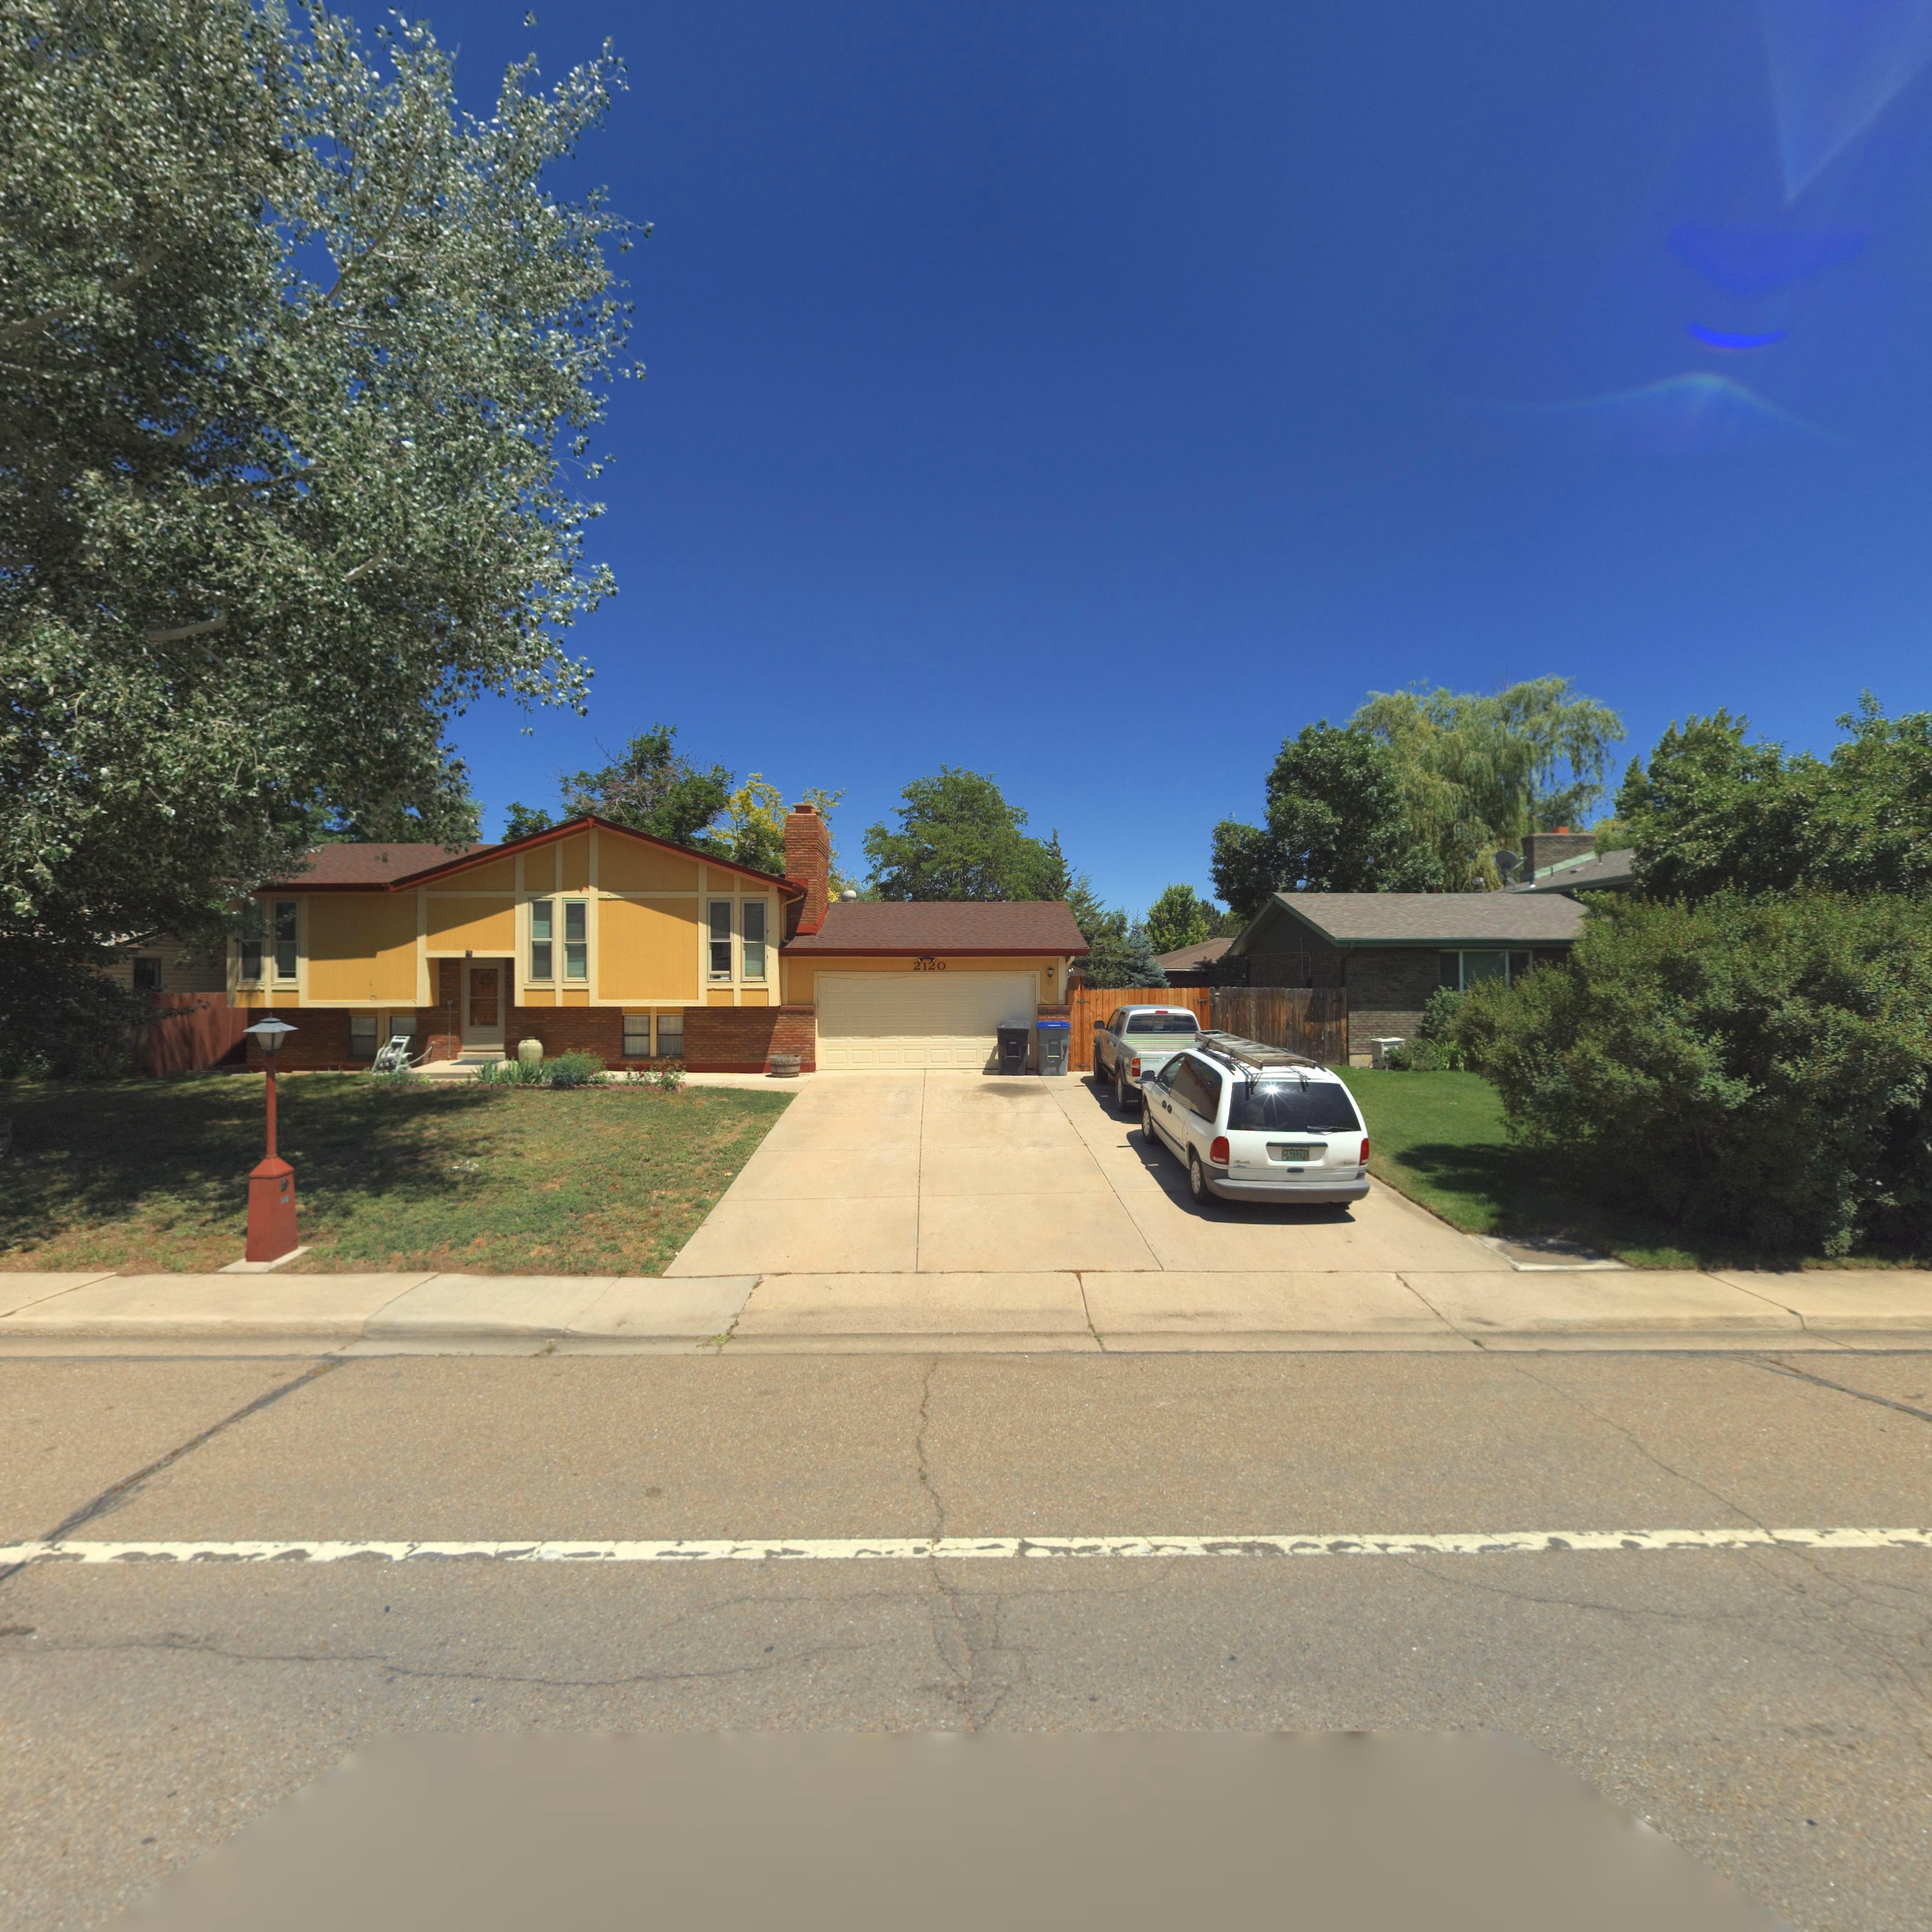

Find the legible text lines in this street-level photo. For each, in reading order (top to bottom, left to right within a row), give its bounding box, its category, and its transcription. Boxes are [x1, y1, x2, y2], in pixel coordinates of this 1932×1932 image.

[913, 961, 946, 970] StreetNumber: 2120